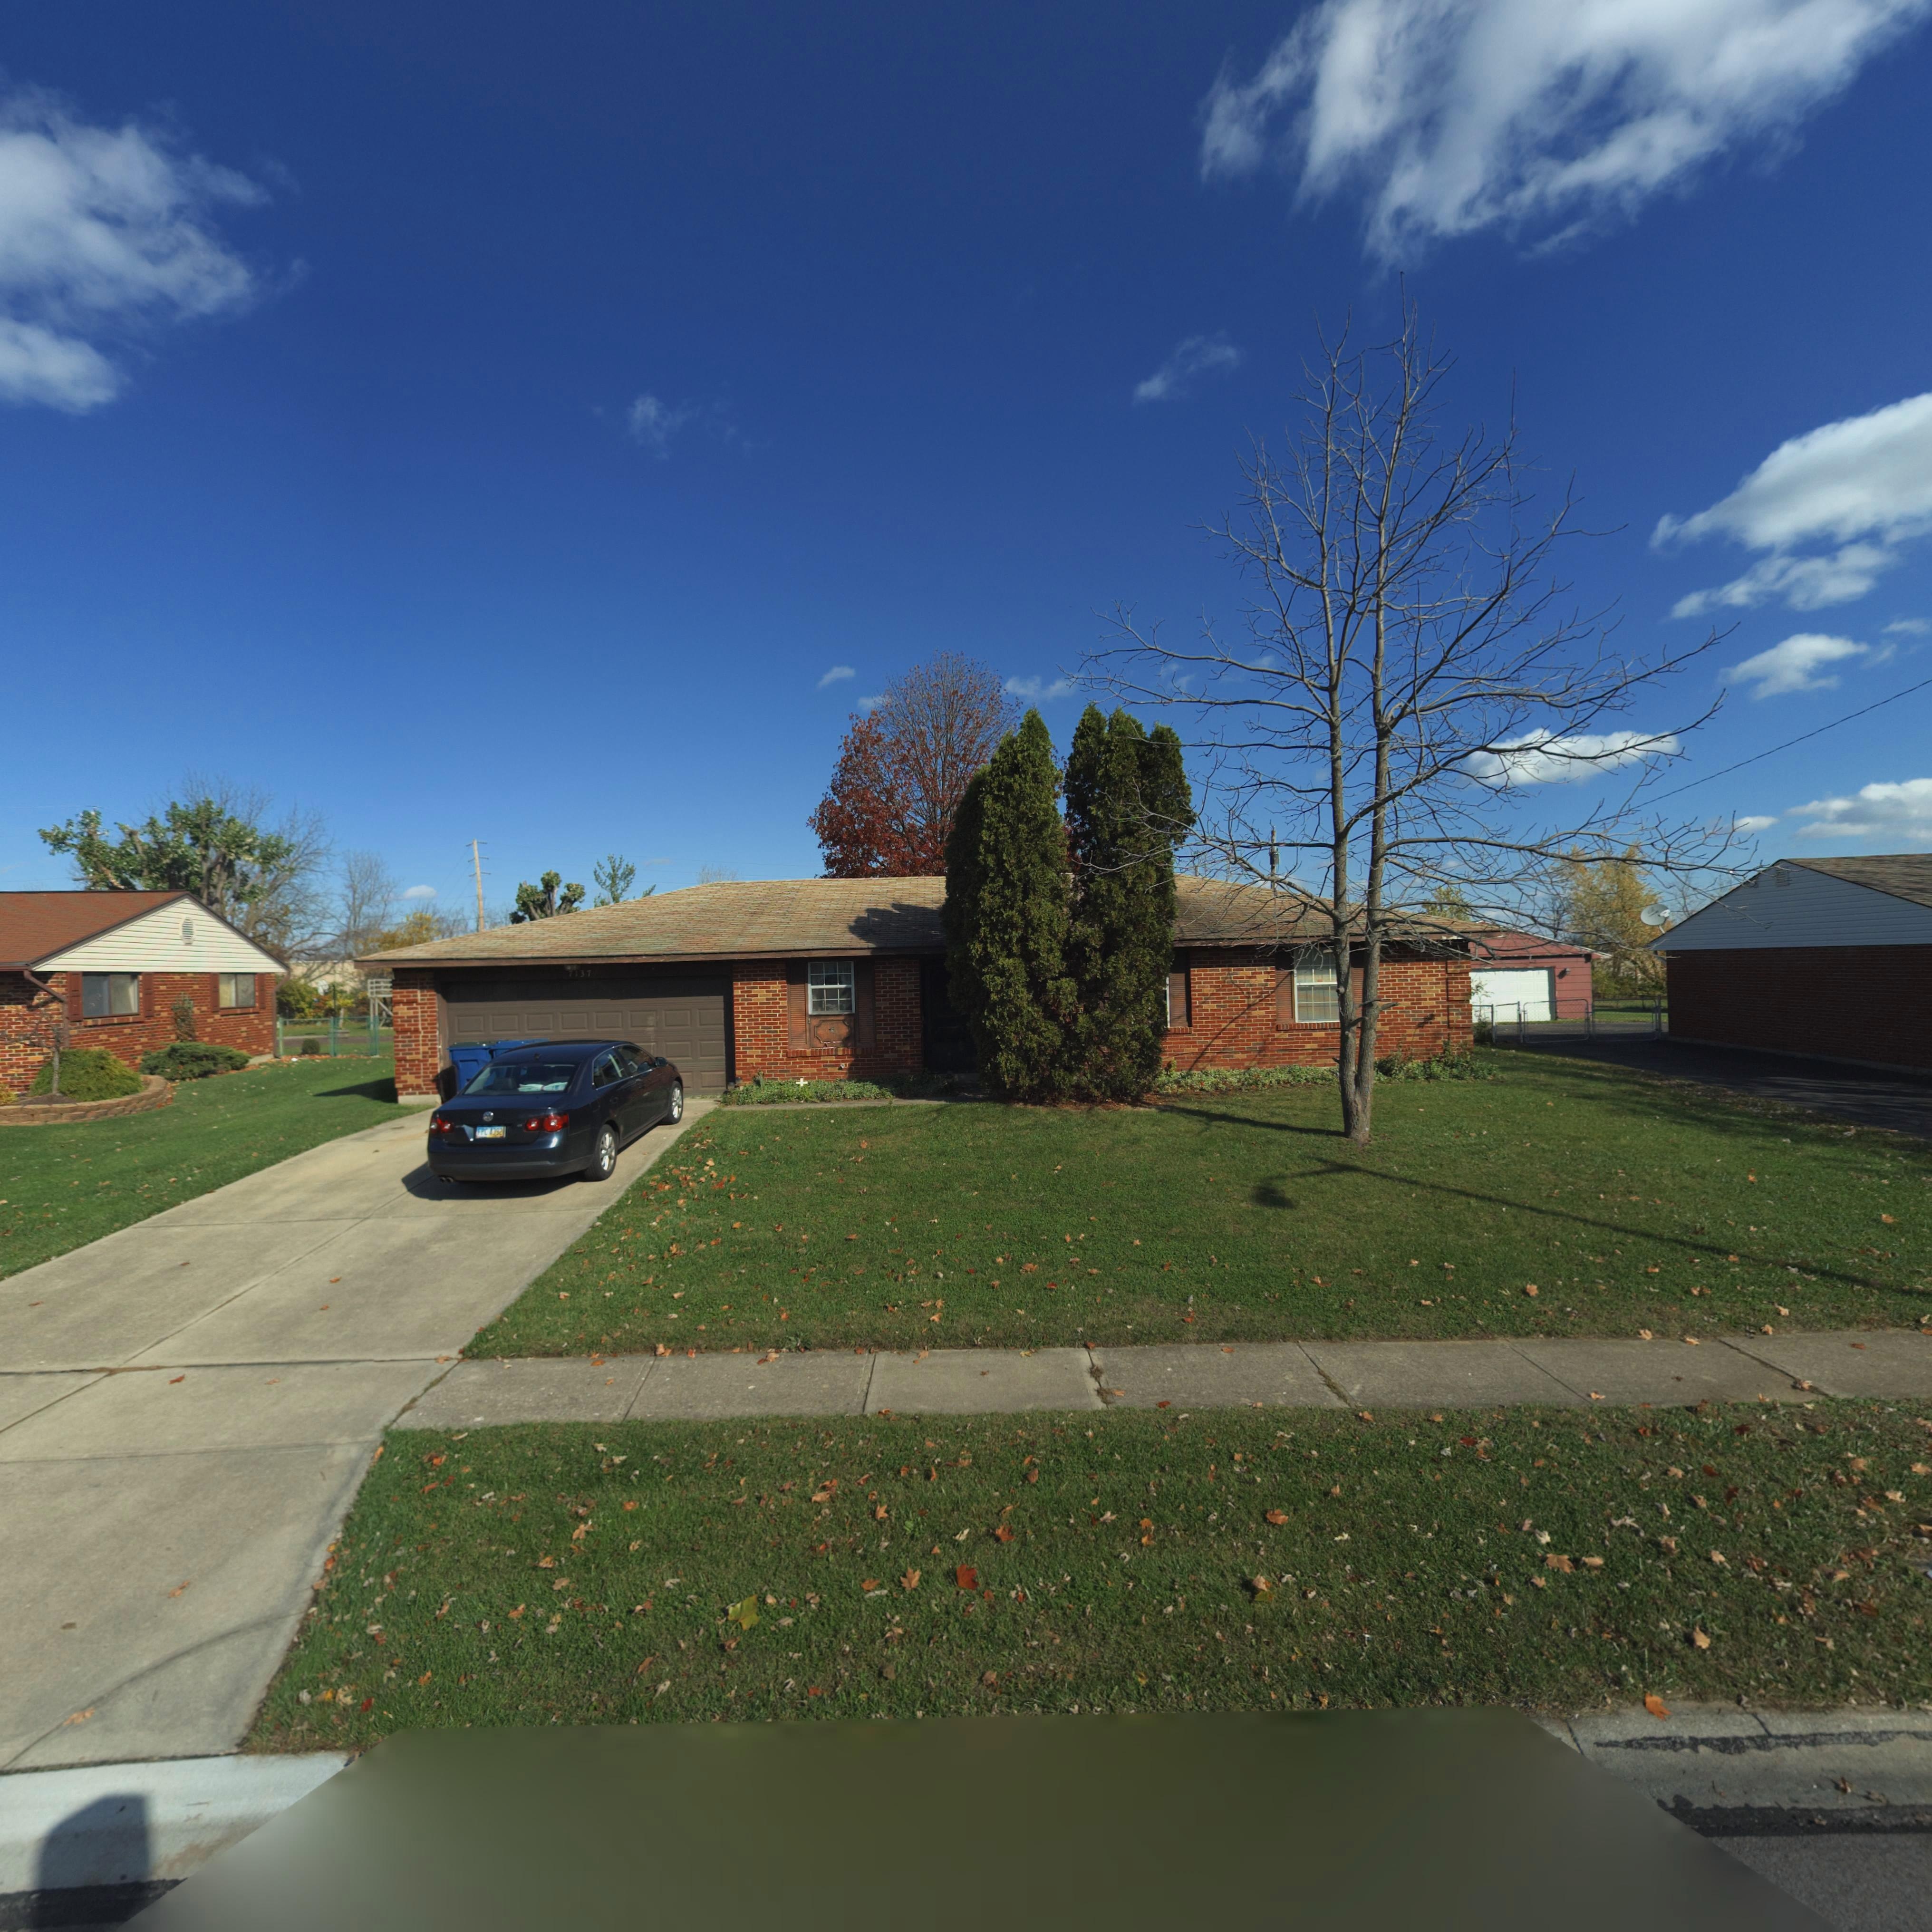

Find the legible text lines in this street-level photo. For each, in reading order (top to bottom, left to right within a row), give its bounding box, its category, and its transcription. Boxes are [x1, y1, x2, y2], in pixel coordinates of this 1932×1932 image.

[568, 968, 592, 979] StreetNumber: 7137